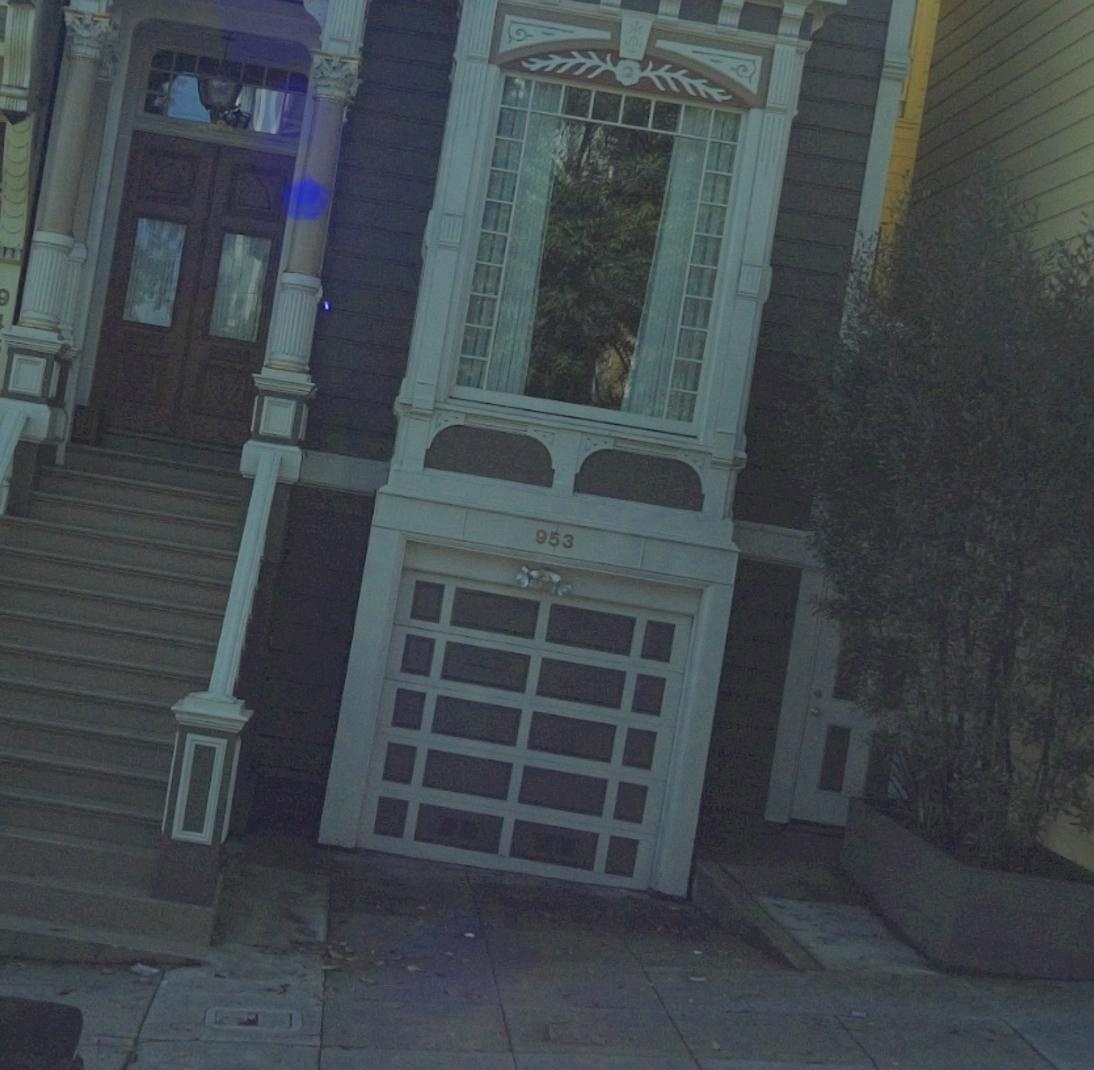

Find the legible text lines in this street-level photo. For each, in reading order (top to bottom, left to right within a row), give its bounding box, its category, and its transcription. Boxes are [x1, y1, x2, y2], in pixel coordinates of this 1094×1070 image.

[533, 525, 576, 552] StreetNumber: 953